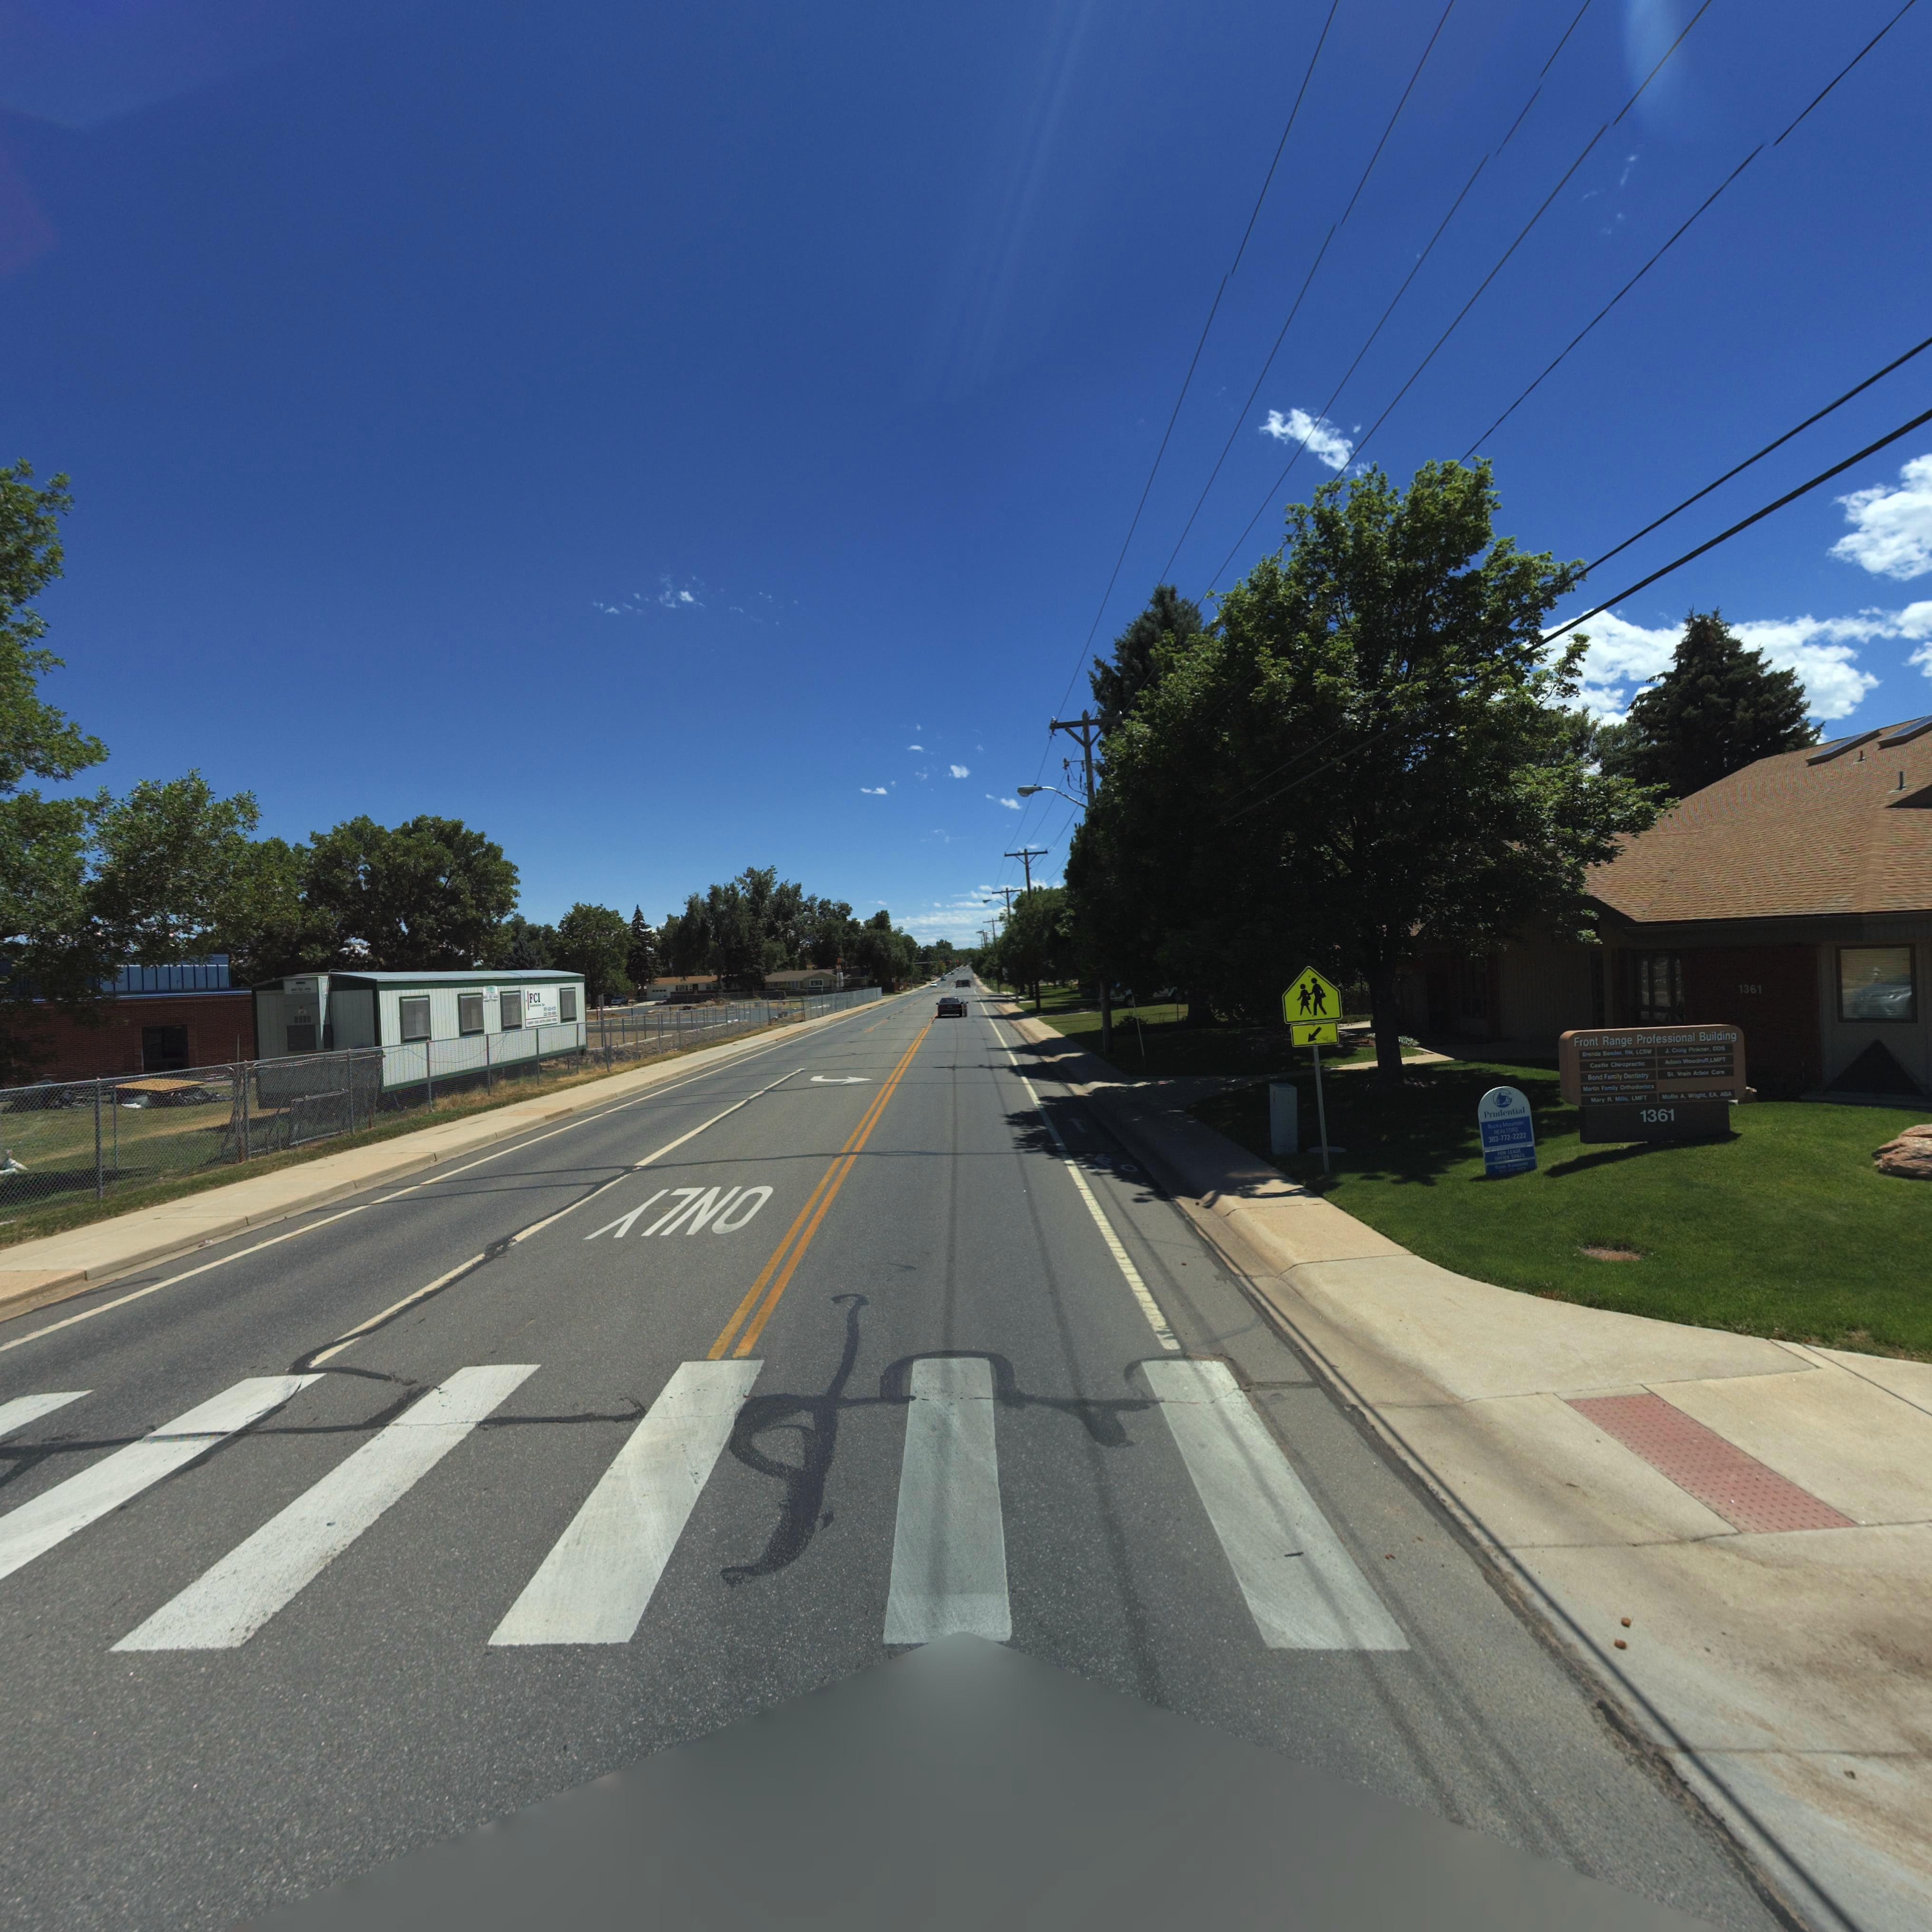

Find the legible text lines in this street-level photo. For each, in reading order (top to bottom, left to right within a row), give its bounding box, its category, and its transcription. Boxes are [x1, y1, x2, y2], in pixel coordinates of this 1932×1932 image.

[1738, 984, 1762, 994] StreetNumber: 1361
[1582, 1048, 1652, 1057] BusinessName: Bre*da Boo*er, R*, LCSW
[1663, 1045, 1726, 1054] BusinessName: J. C**ig P**kner, DDS
[1589, 1060, 1646, 1068] BusinessName: C**t*e Chi*op**ct*c
[1664, 1056, 1726, 1065] BusinessName: A*d**y Wood***t,LMFT
[1587, 1072, 1650, 1081] BusinessName: Bond F****y De*t*s*ry
[1666, 1069, 1725, 1078] BusinessName: St. V***n Arbo* C*r*
[1583, 1083, 1654, 1092] BusinessName: M*rtin Fa***y Orthodo***cs
[1590, 1094, 1648, 1103] BusinessName: M*ry ** M***s, LMFT
[1662, 1091, 1732, 1100] BusinessName: M*ll*e A. W*ight, EA, ABA
[1639, 1107, 1675, 1123] StreetNumber: 1361